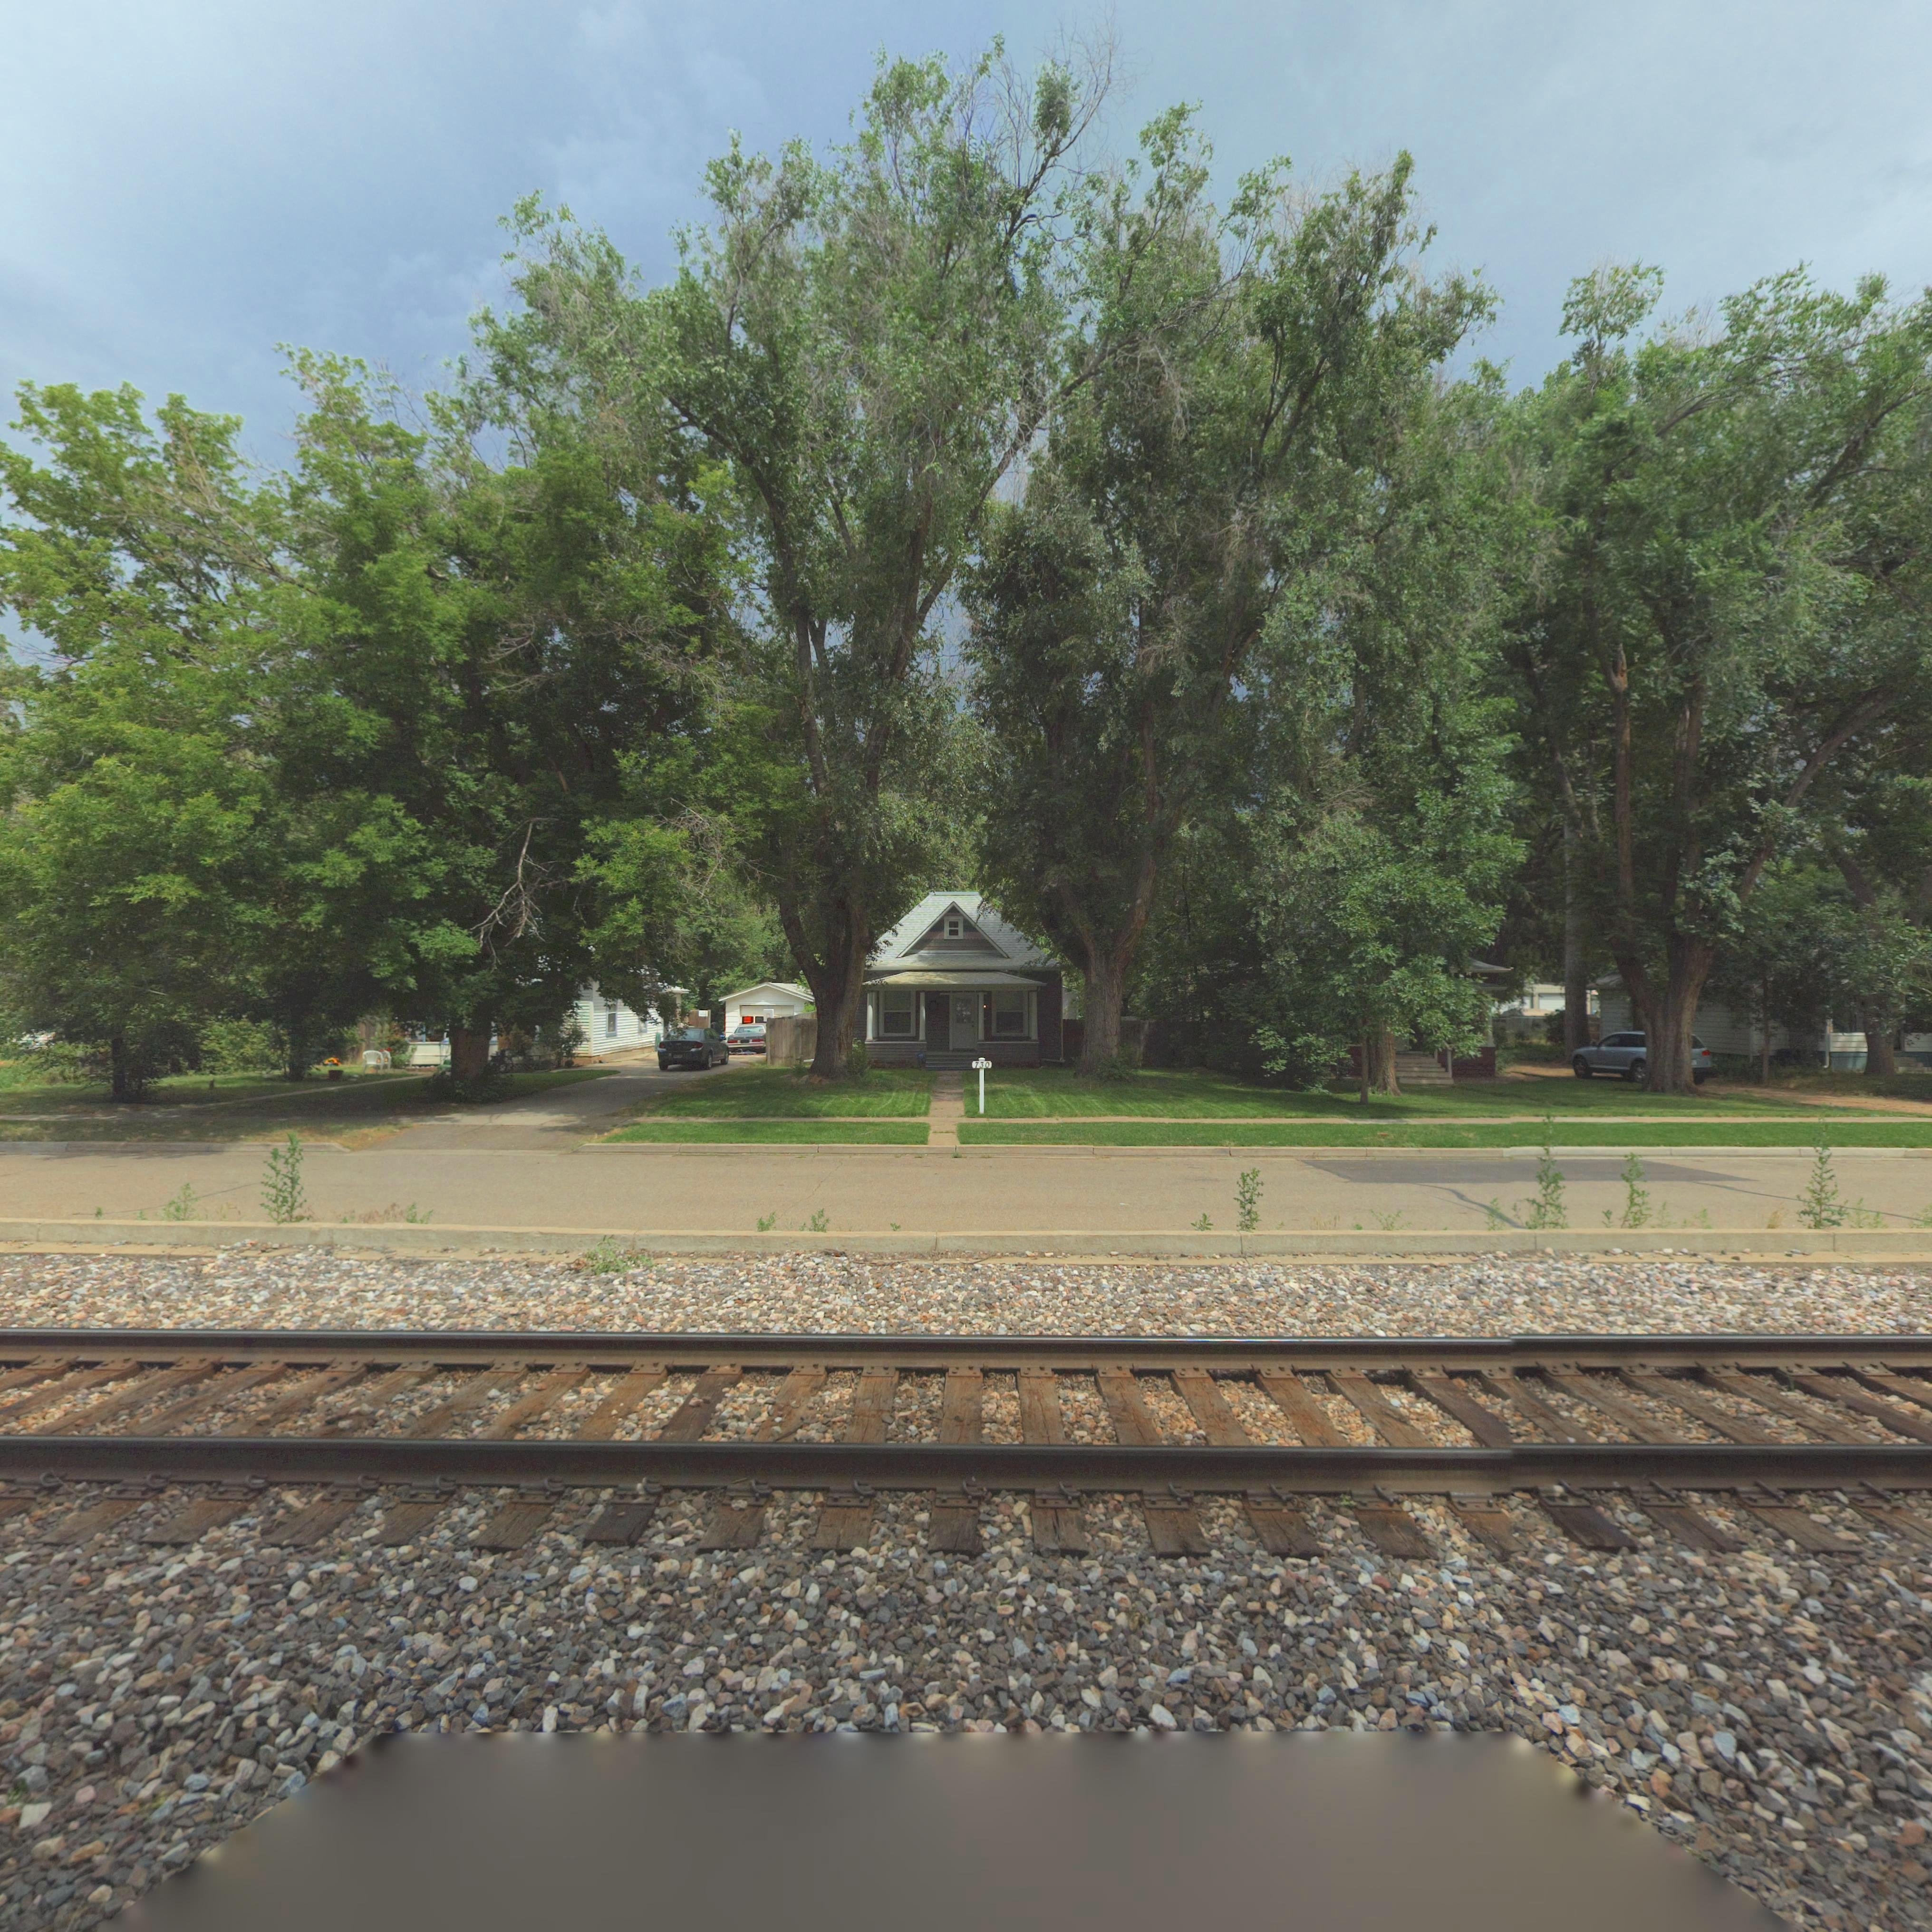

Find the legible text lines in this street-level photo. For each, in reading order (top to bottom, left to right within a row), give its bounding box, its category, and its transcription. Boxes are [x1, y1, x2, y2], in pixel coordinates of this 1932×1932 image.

[973, 1061, 990, 1068] StreetNumber: 730